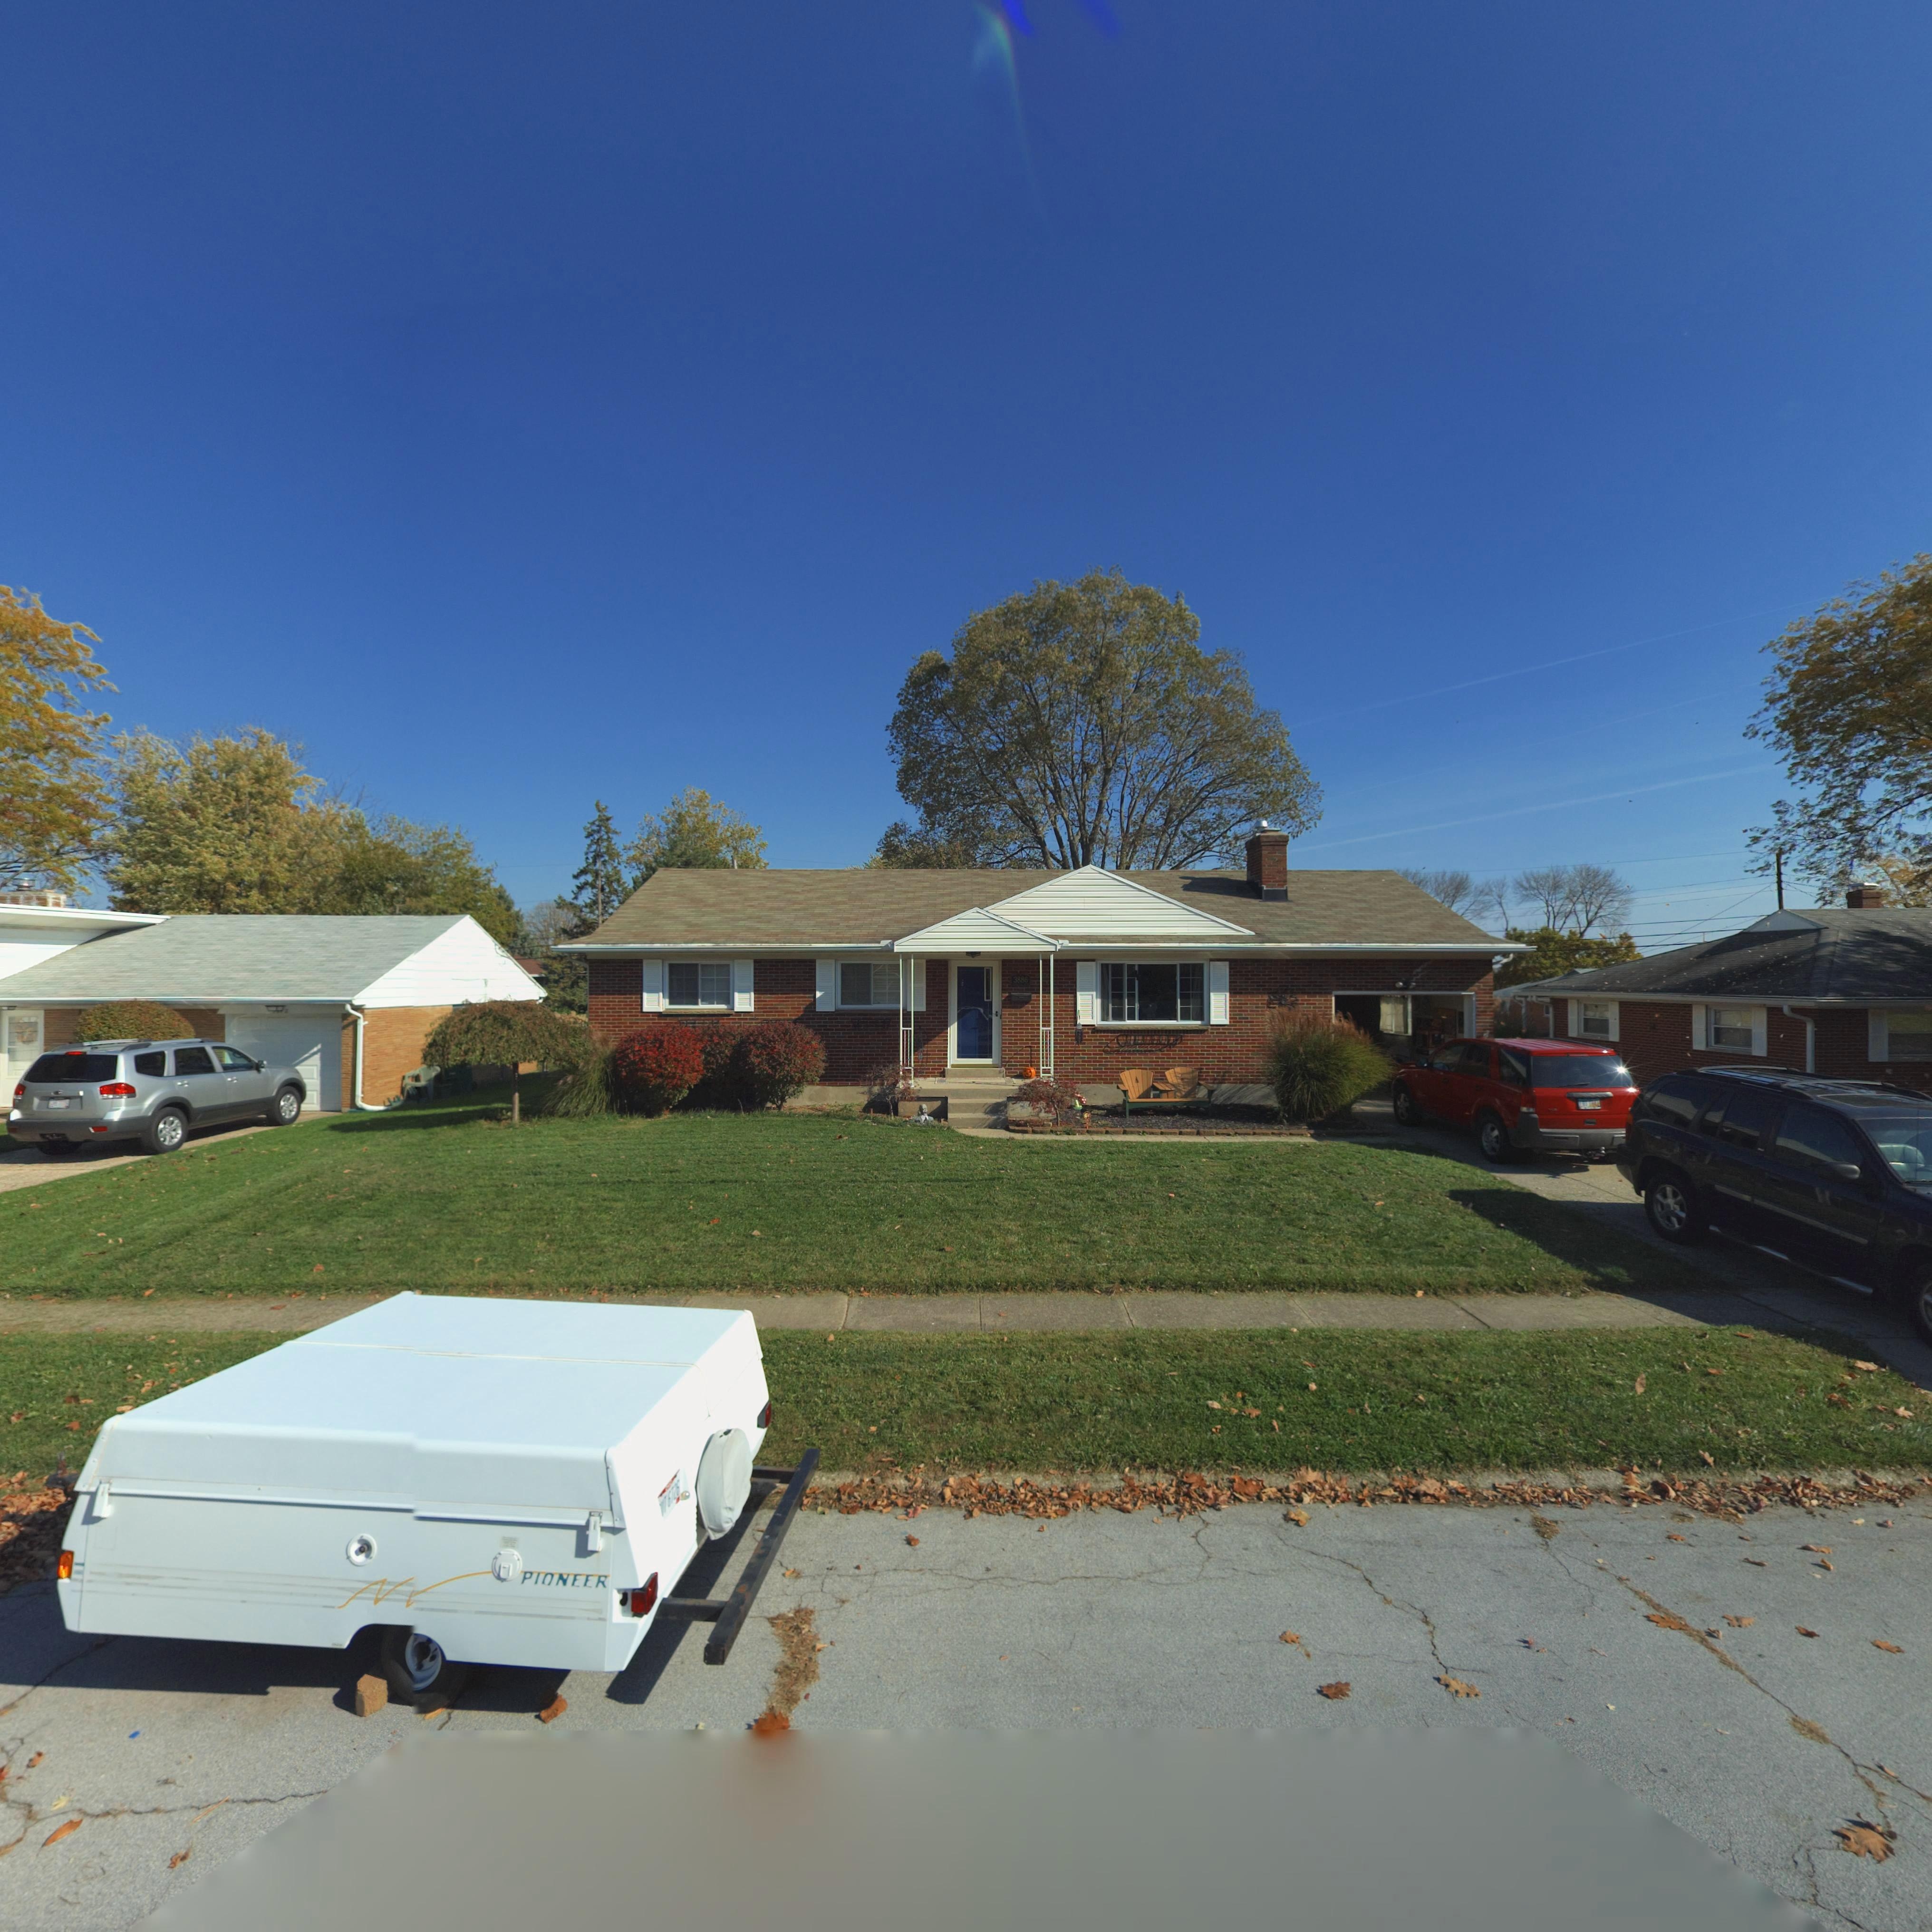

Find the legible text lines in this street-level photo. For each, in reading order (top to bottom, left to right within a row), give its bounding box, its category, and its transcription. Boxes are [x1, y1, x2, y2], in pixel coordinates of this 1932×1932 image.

[1013, 976, 1028, 984] StreetNumber: 3886
[519, 1570, 609, 1590] None: PIONEER